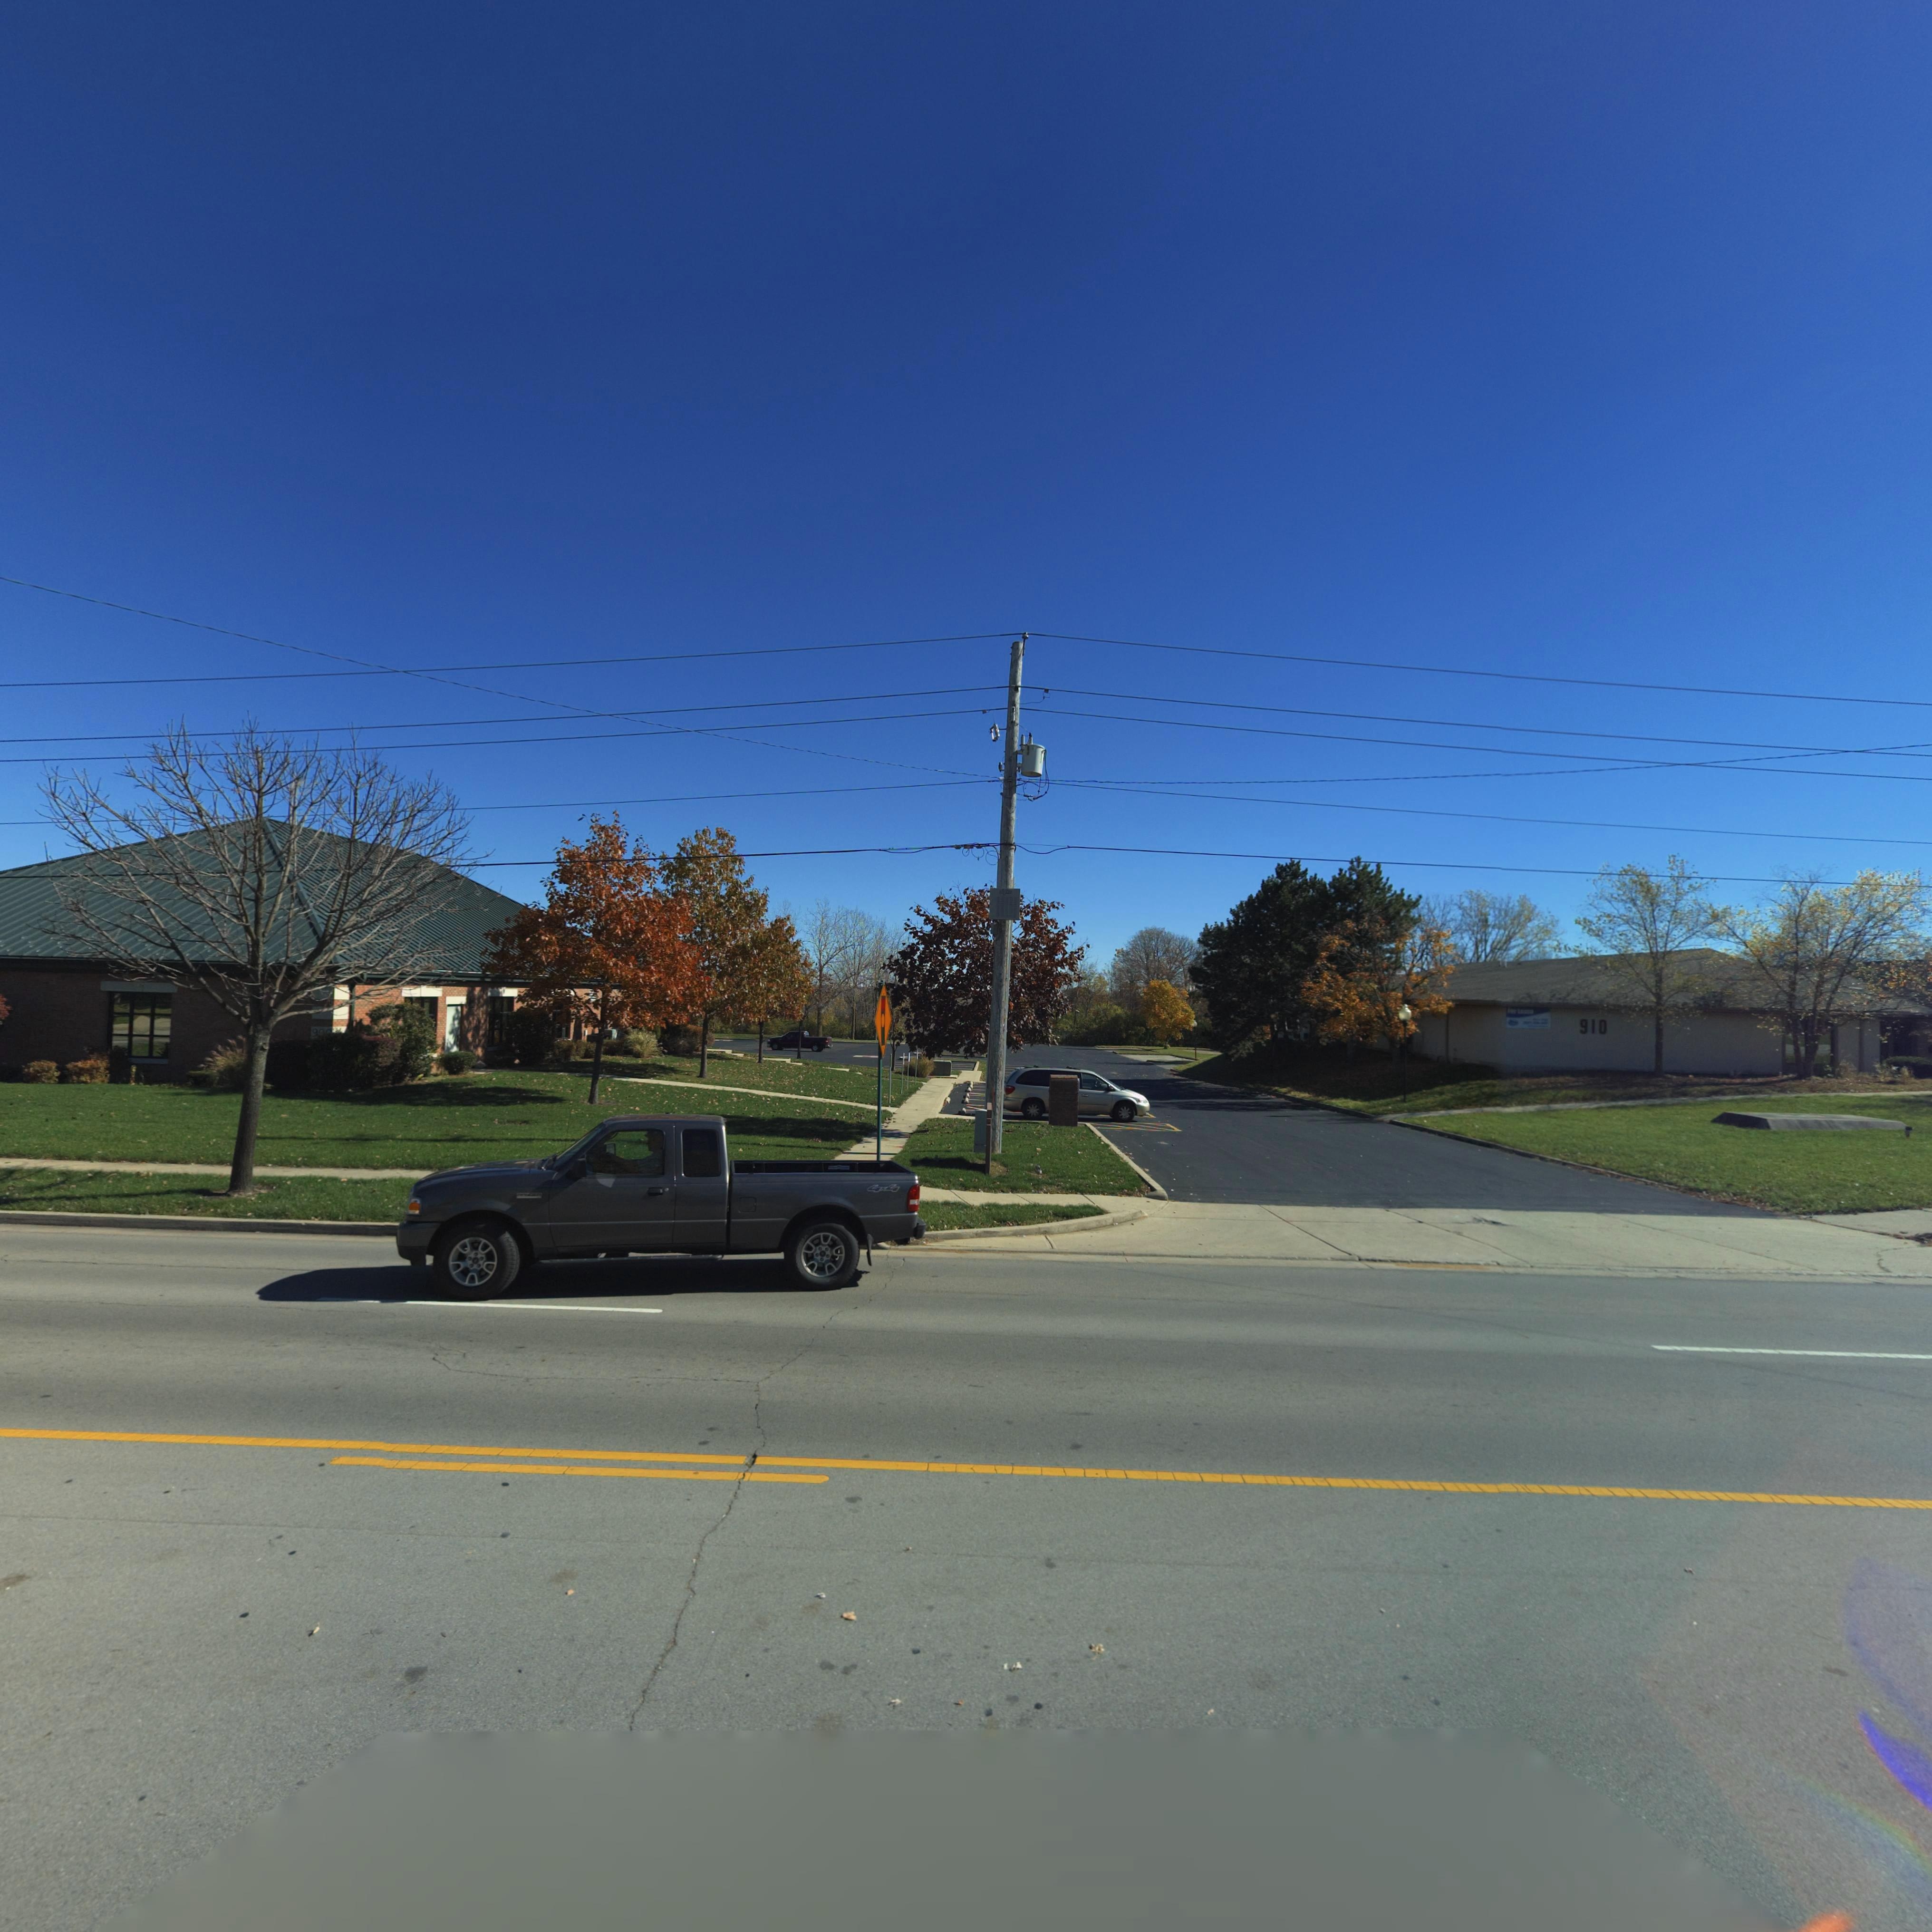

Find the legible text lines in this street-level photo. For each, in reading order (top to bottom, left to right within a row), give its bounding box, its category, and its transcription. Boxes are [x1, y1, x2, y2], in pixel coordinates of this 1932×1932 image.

[311, 1027, 319, 1038] StreetNumber: 9
[1579, 1017, 1609, 1036] StreetNumber: 910